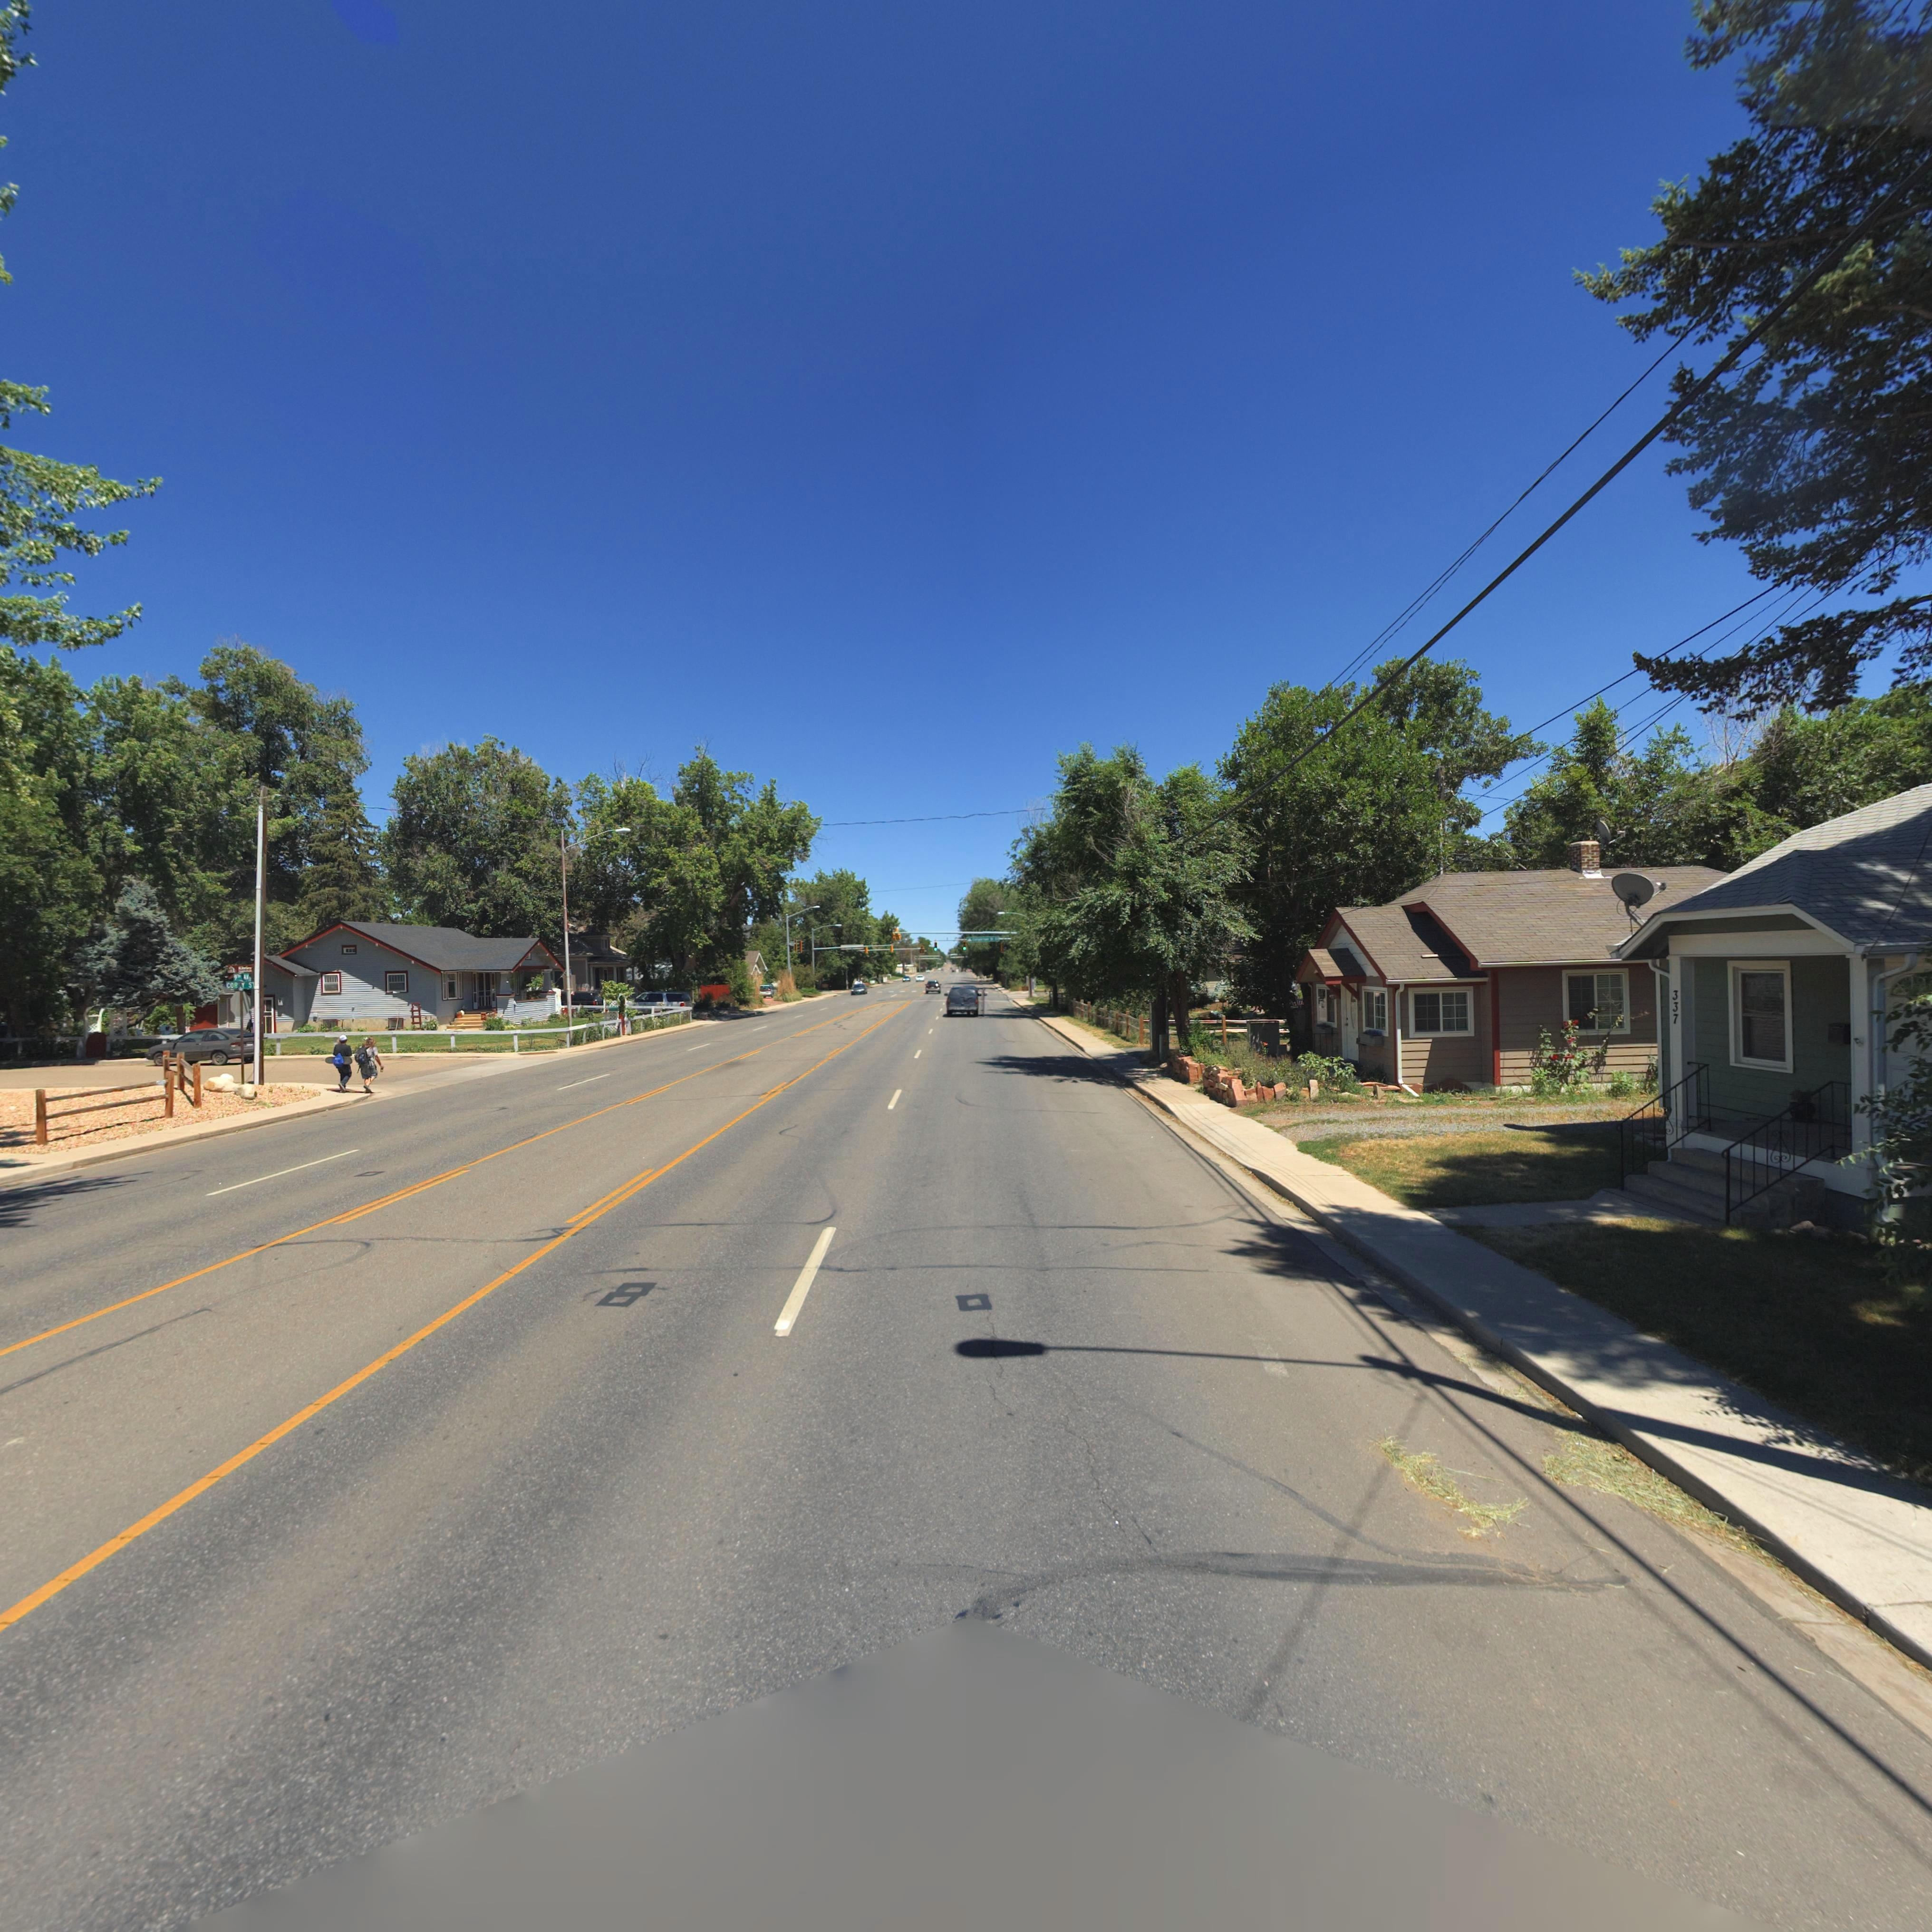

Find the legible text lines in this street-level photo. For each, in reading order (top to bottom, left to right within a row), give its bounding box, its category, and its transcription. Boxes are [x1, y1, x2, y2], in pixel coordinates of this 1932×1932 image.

[233, 974, 250, 980] StreetName: 9** *V
[225, 981, 255, 989] StreetName: COR*Y S*
[1672, 989, 1679, 1024] StreetNumber: 337